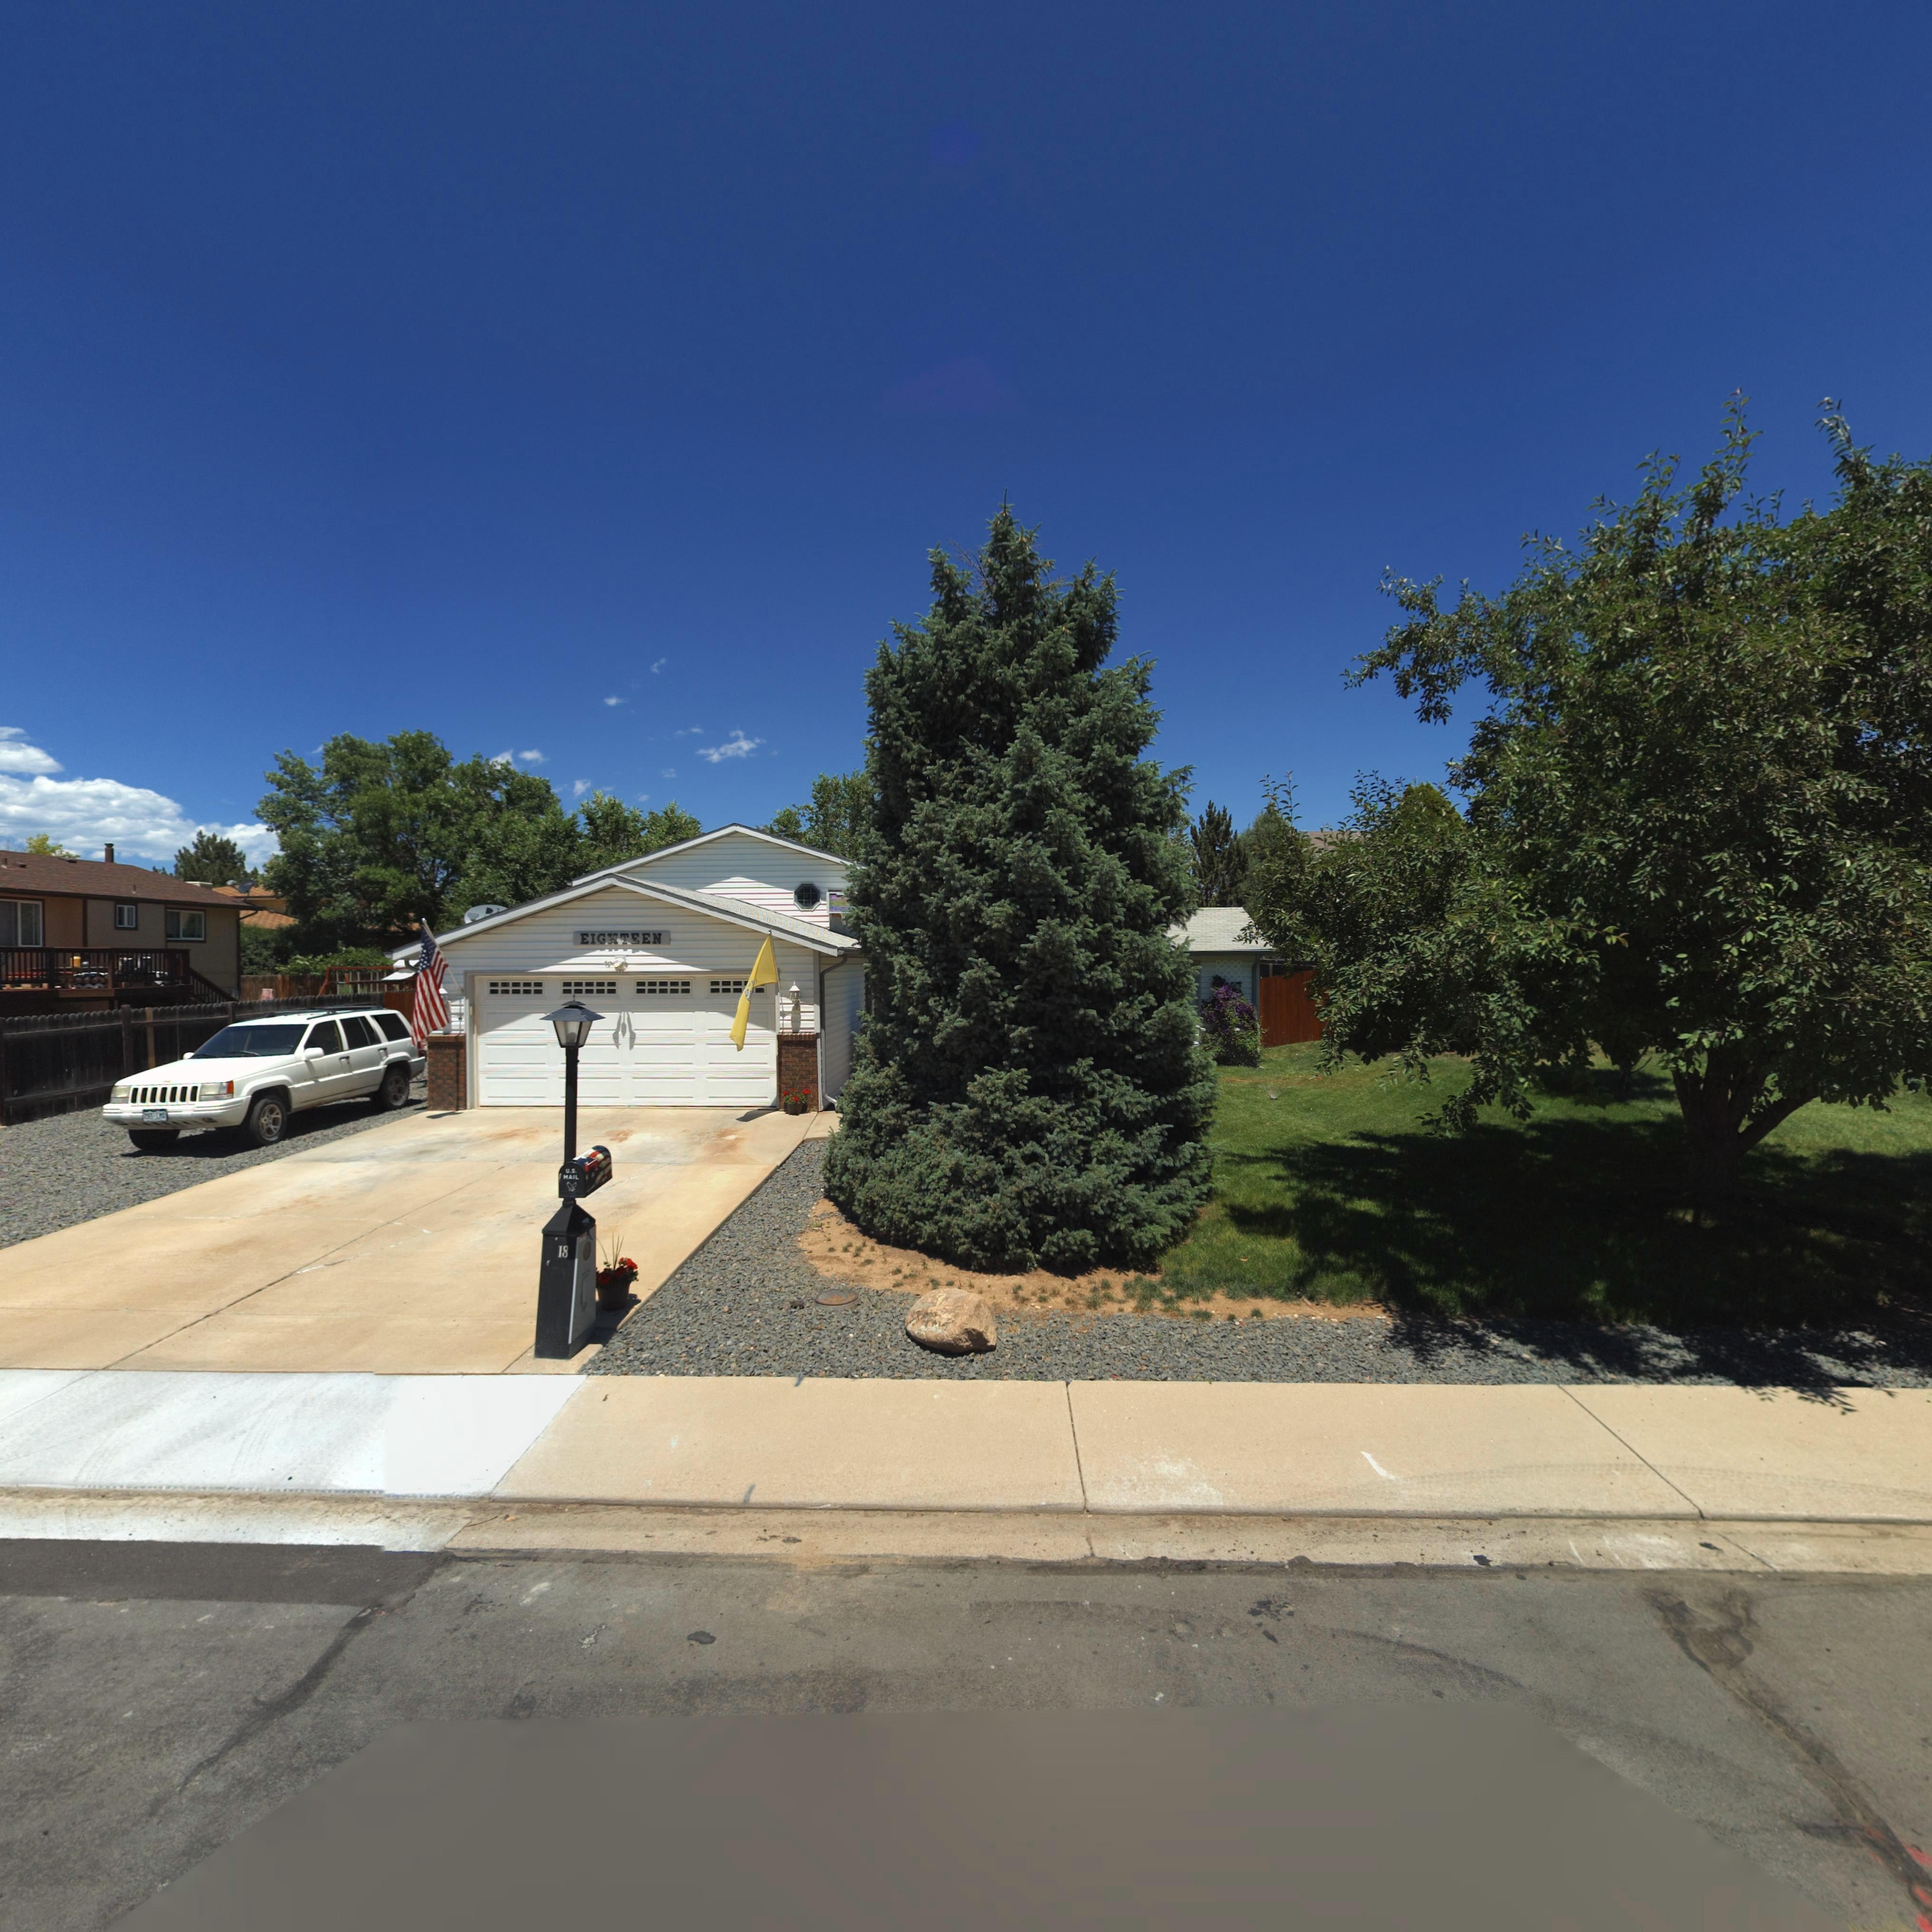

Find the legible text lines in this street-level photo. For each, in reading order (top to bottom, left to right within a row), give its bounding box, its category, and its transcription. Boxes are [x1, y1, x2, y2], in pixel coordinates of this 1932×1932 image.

[580, 932, 662, 945] StreetNumber: EIGHTEEN
[558, 1244, 569, 1258] StreetNumber: 18